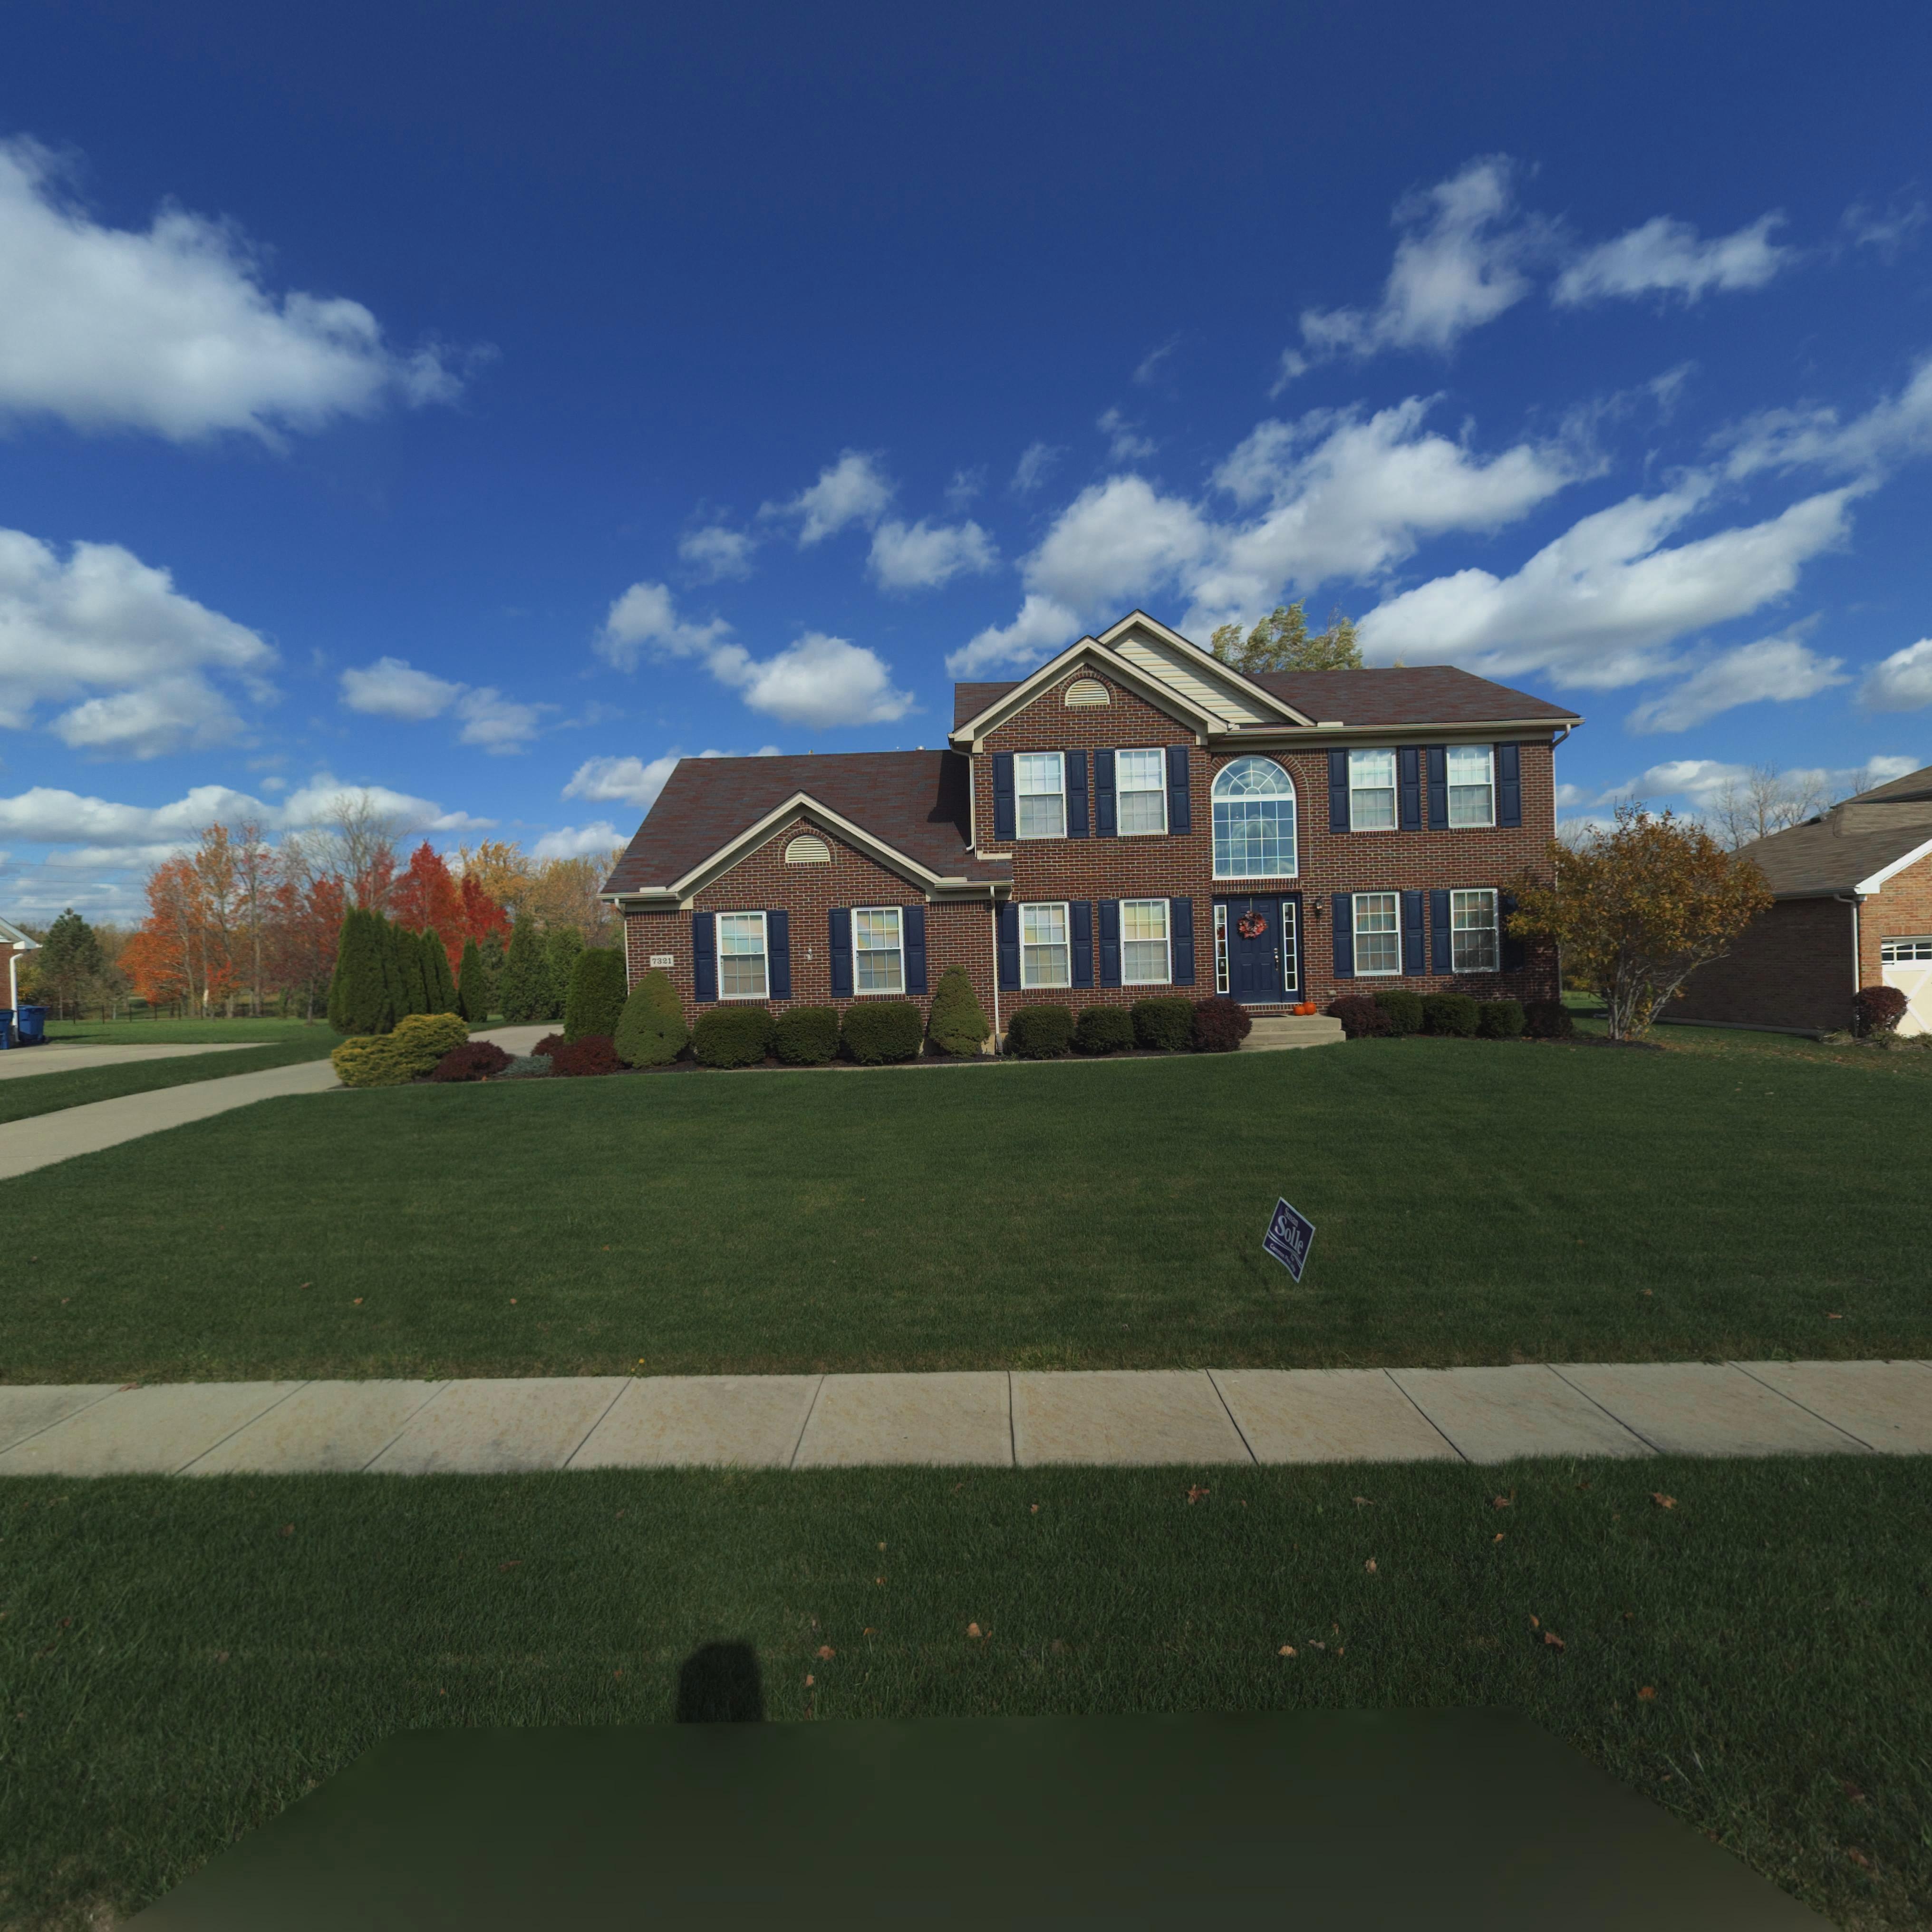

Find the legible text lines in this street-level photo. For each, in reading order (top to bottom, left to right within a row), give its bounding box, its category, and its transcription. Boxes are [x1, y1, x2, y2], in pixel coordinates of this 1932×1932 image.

[651, 957, 672, 965] StreetNumber: 7321